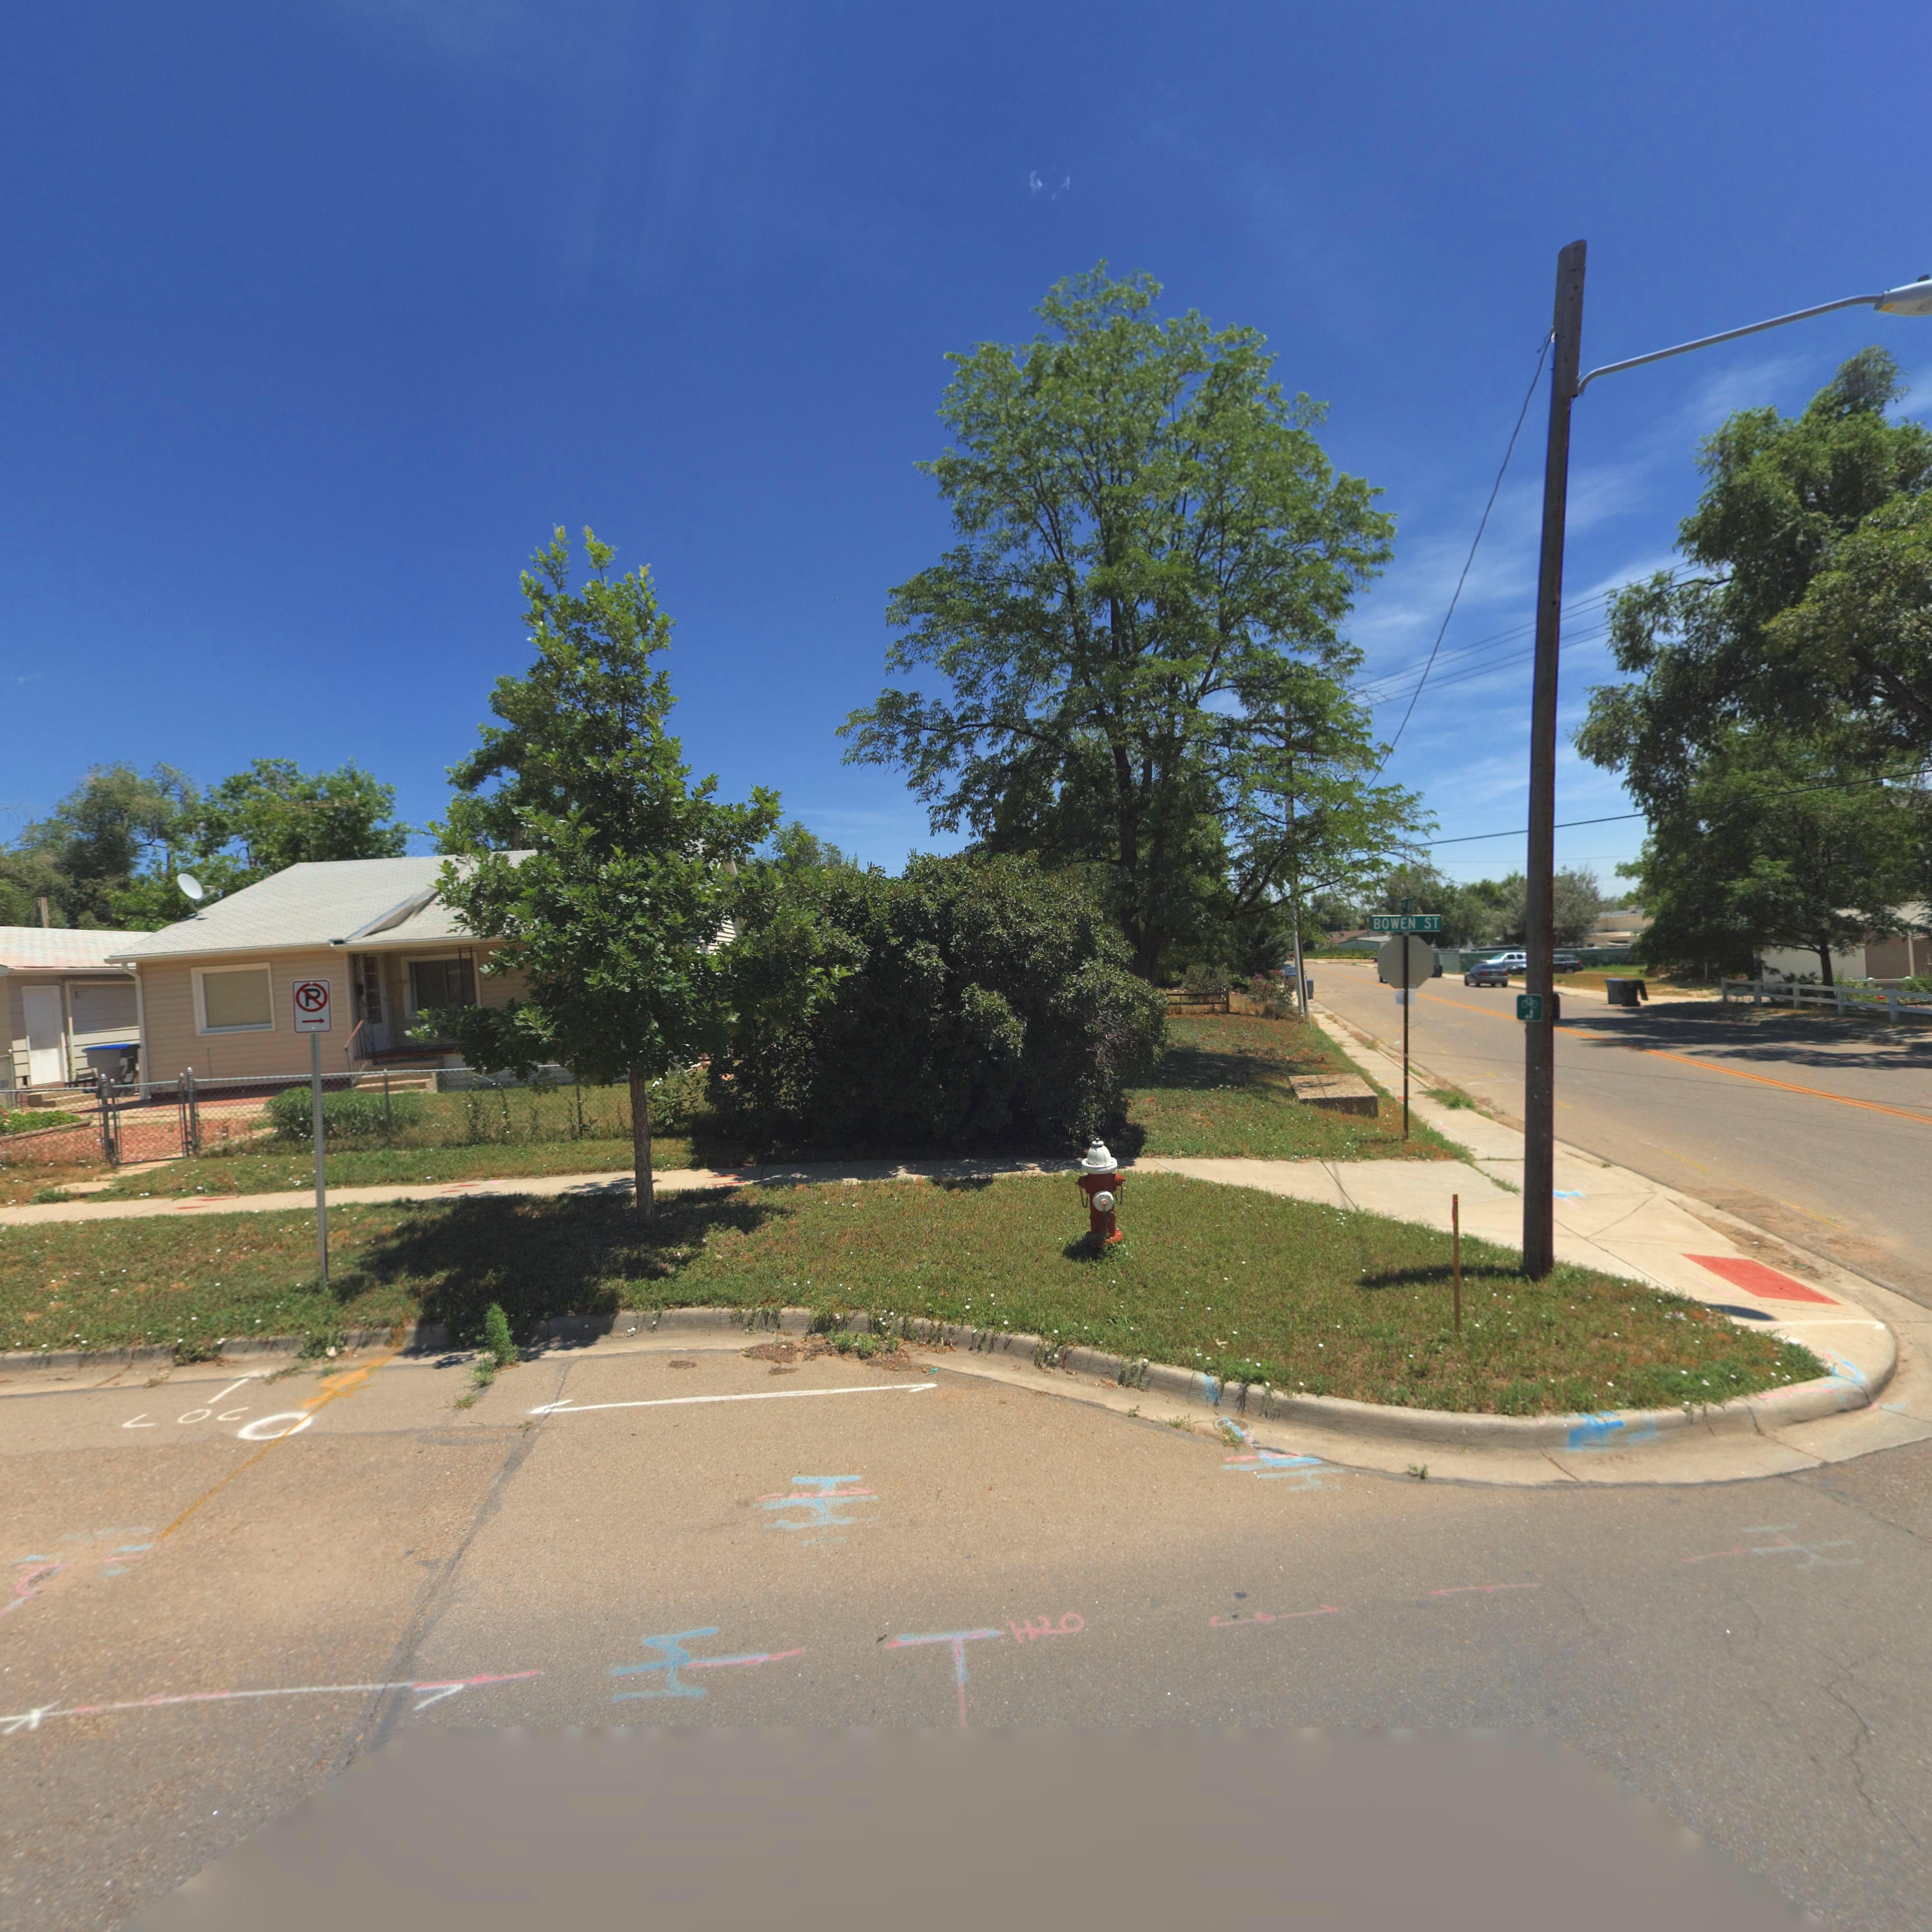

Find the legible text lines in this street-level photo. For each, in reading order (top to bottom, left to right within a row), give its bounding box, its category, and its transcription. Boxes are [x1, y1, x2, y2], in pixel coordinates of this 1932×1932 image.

[1372, 917, 1440, 929] StreetName: BOWEN ST